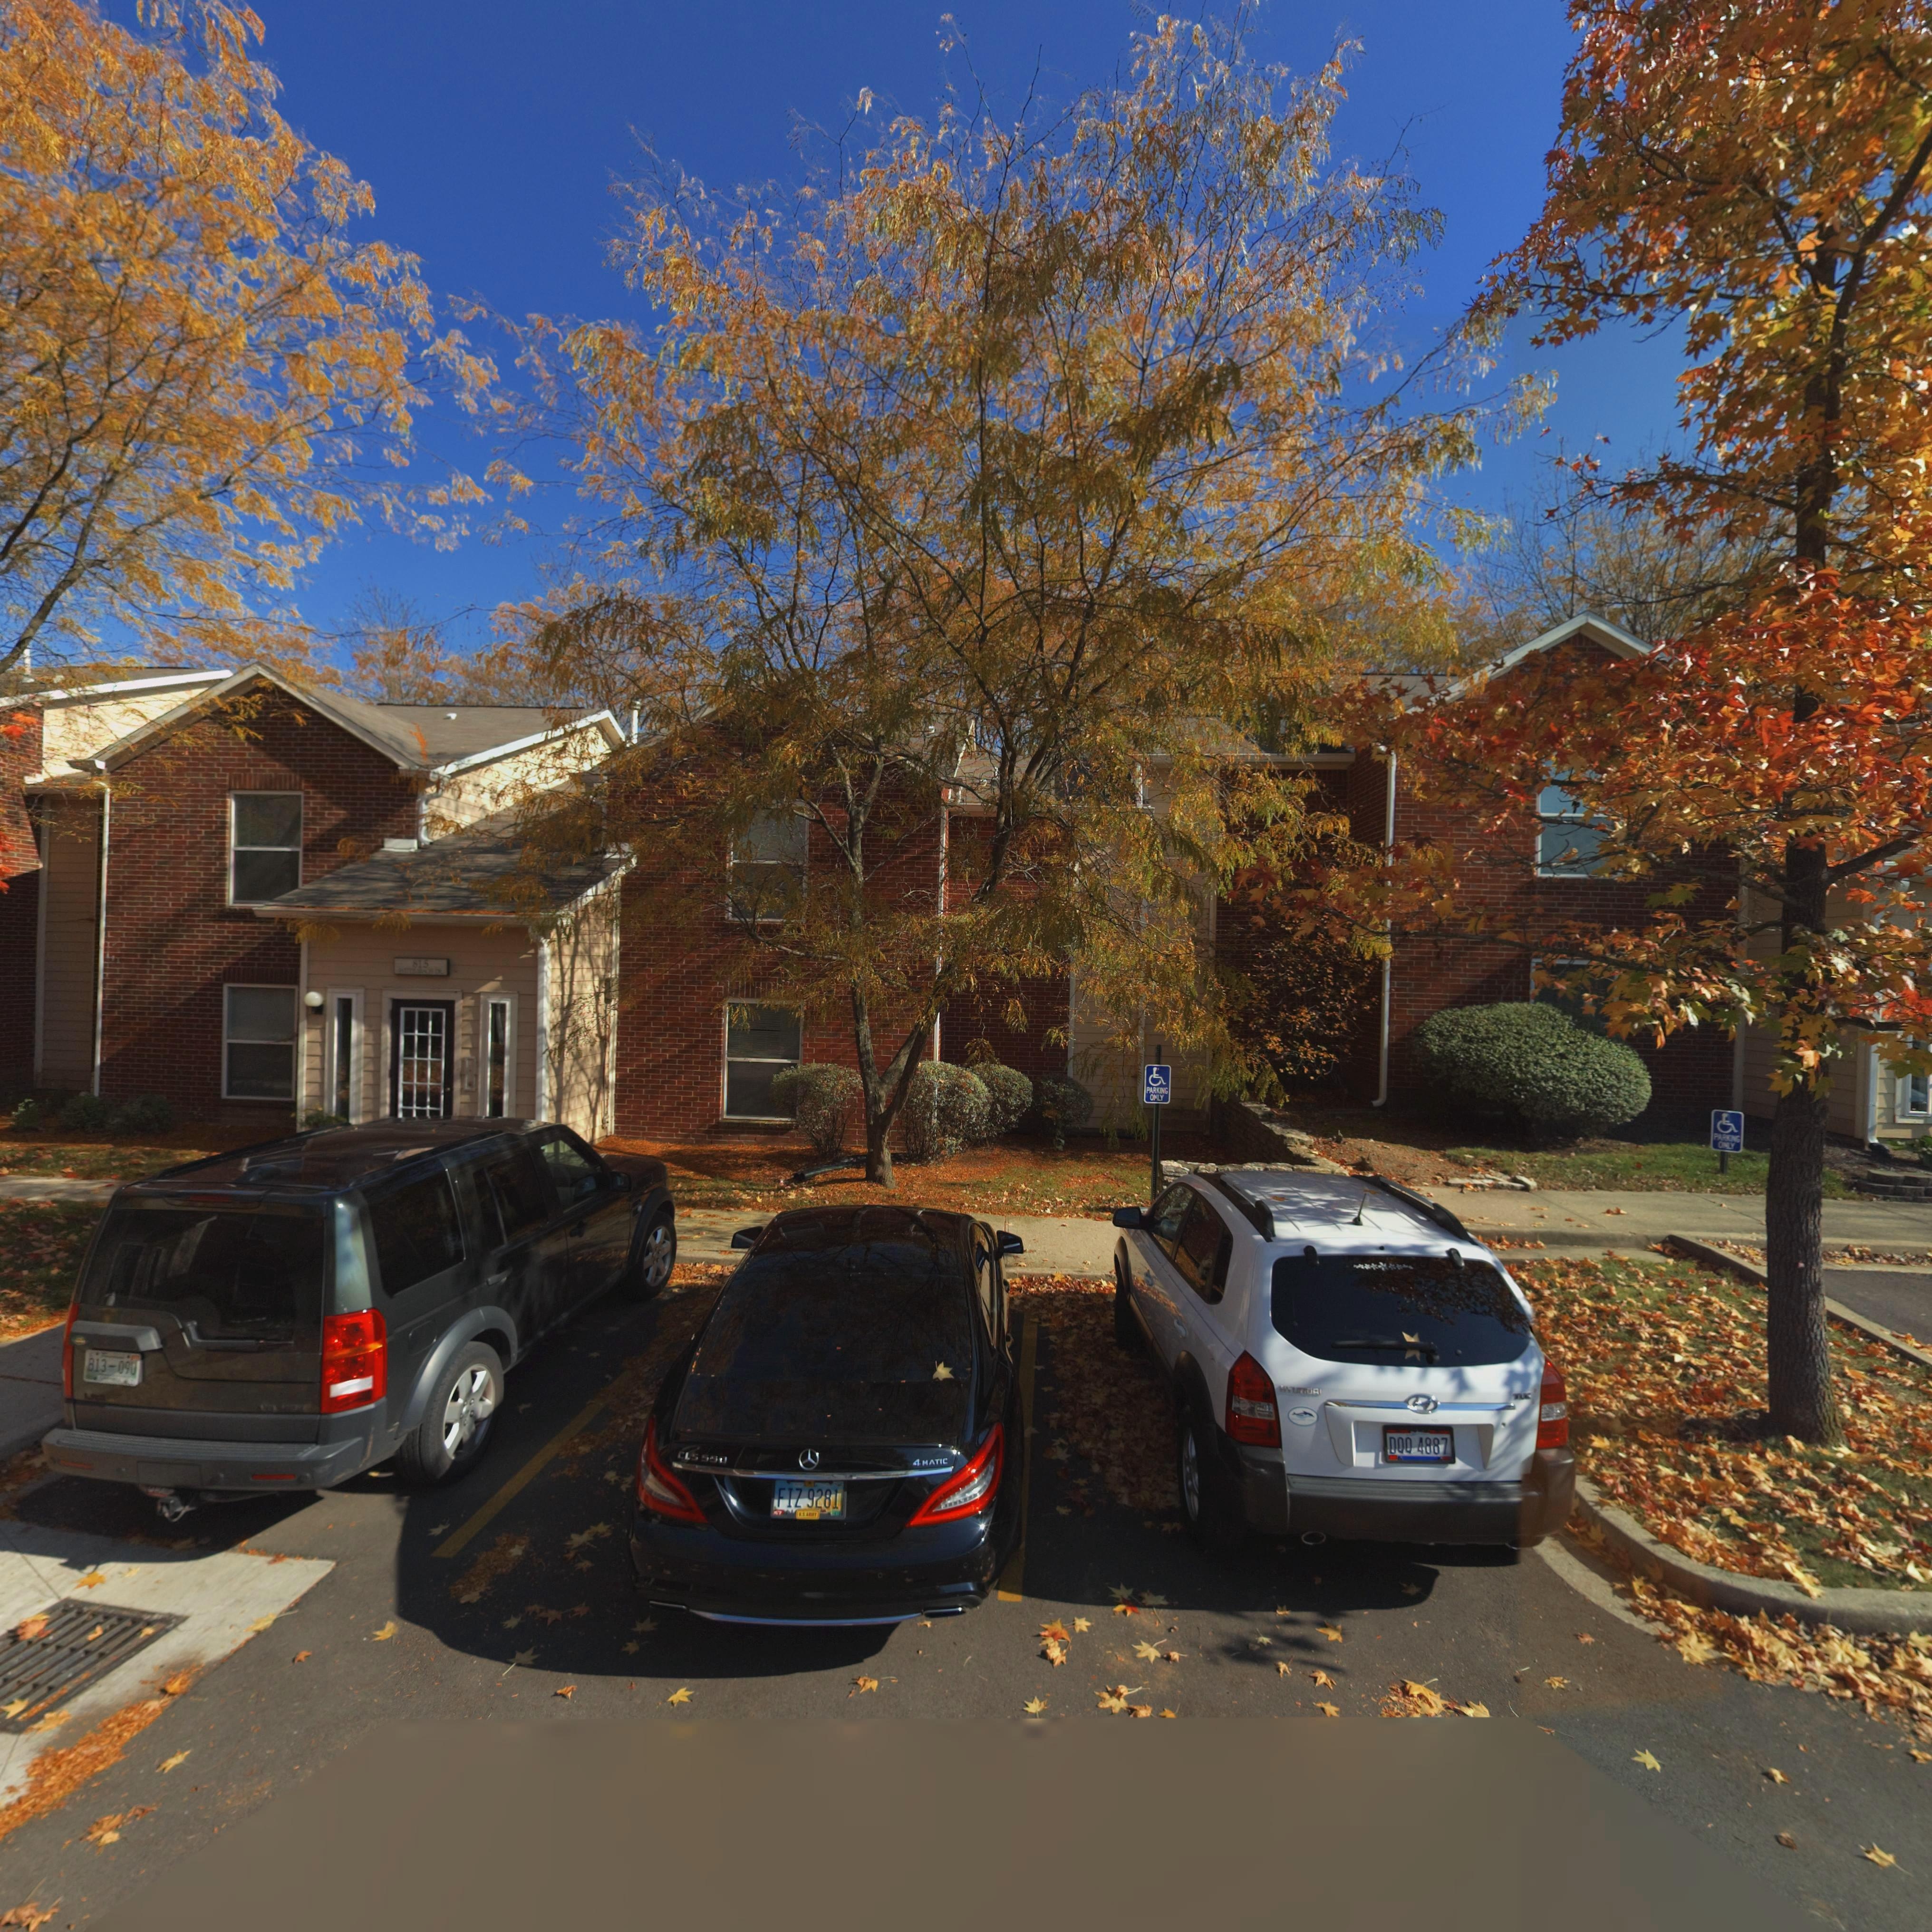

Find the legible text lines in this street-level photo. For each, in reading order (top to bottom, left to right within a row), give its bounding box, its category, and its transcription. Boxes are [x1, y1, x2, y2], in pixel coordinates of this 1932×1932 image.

[411, 957, 431, 970] StreetNumber: 815
[1146, 1085, 1169, 1095] None: PARKING
[1149, 1092, 1166, 1102] None: ONLY
[1712, 1131, 1742, 1144] None: PARKING
[1717, 1140, 1737, 1151] None: ONLY
[87, 1355, 139, 1378] None: B13-090
[1278, 1382, 1323, 1398] None: HYUNDAI
[1387, 1433, 1450, 1457] None: DQQ 4887
[675, 1448, 730, 1467] None: CLS 550
[911, 1456, 950, 1468] None: 4MATIC
[775, 1485, 841, 1511] None: FIZ 9281